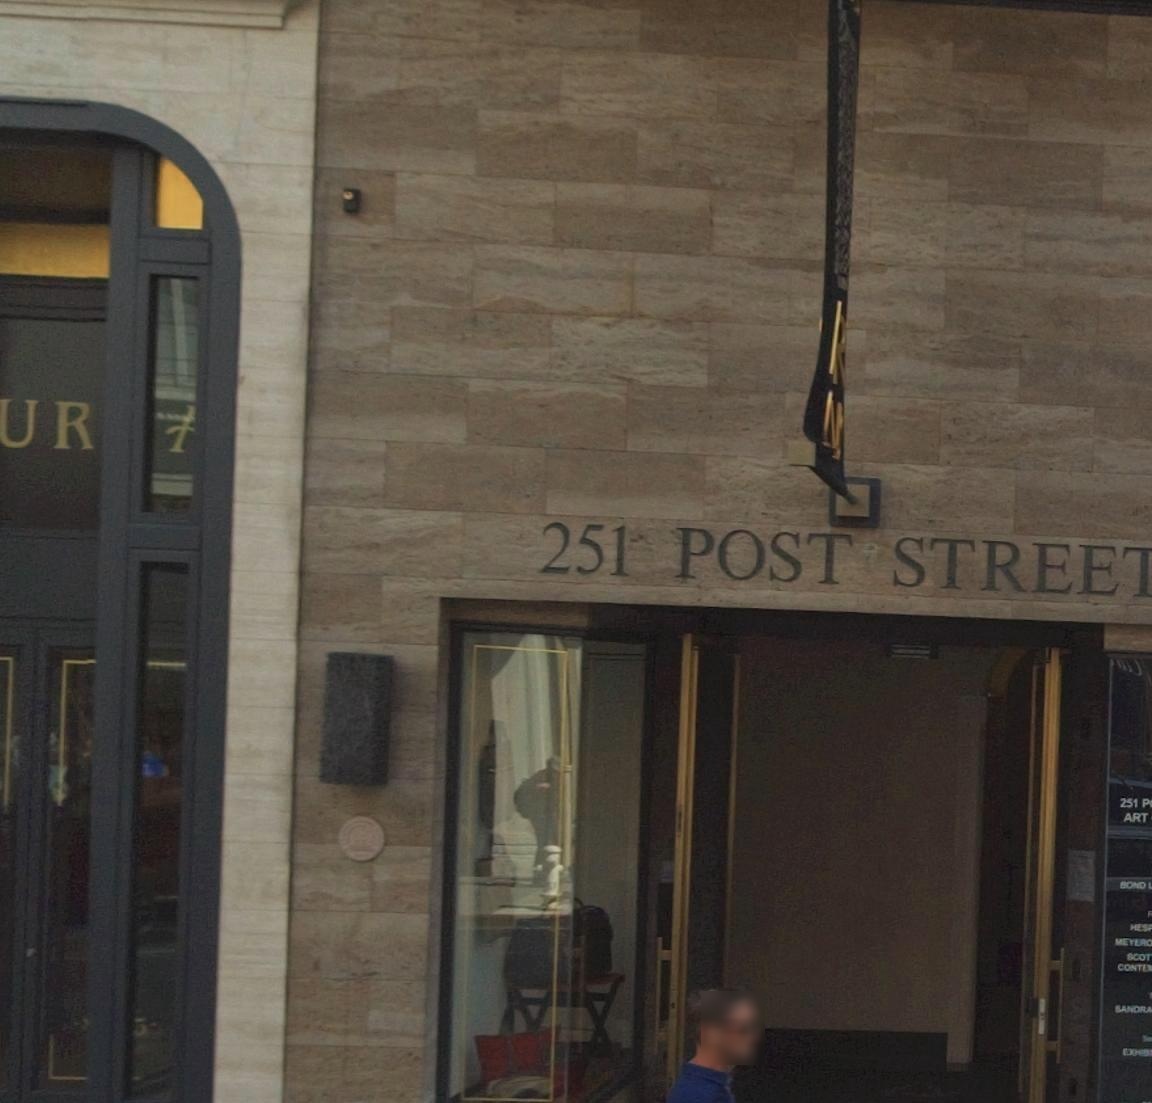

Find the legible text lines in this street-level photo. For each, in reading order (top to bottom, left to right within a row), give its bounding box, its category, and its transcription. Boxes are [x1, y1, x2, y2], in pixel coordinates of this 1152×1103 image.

[48, 398, 101, 458] None: R
[537, 519, 630, 578] StreetNumber: 251
[669, 525, 1124, 601] StreetName: POST STREE
[1117, 796, 1139, 809] None: 251
[1121, 811, 1147, 823] None: ART
[1118, 880, 1146, 890] None: BOND
[1114, 937, 1137, 947] None: MET
[1125, 952, 1146, 962] None: BOO
[1115, 963, 1144, 973] None: CONT
[1113, 1004, 1147, 1014] None: BANDR
[1121, 1047, 1144, 1057] None: EXHI